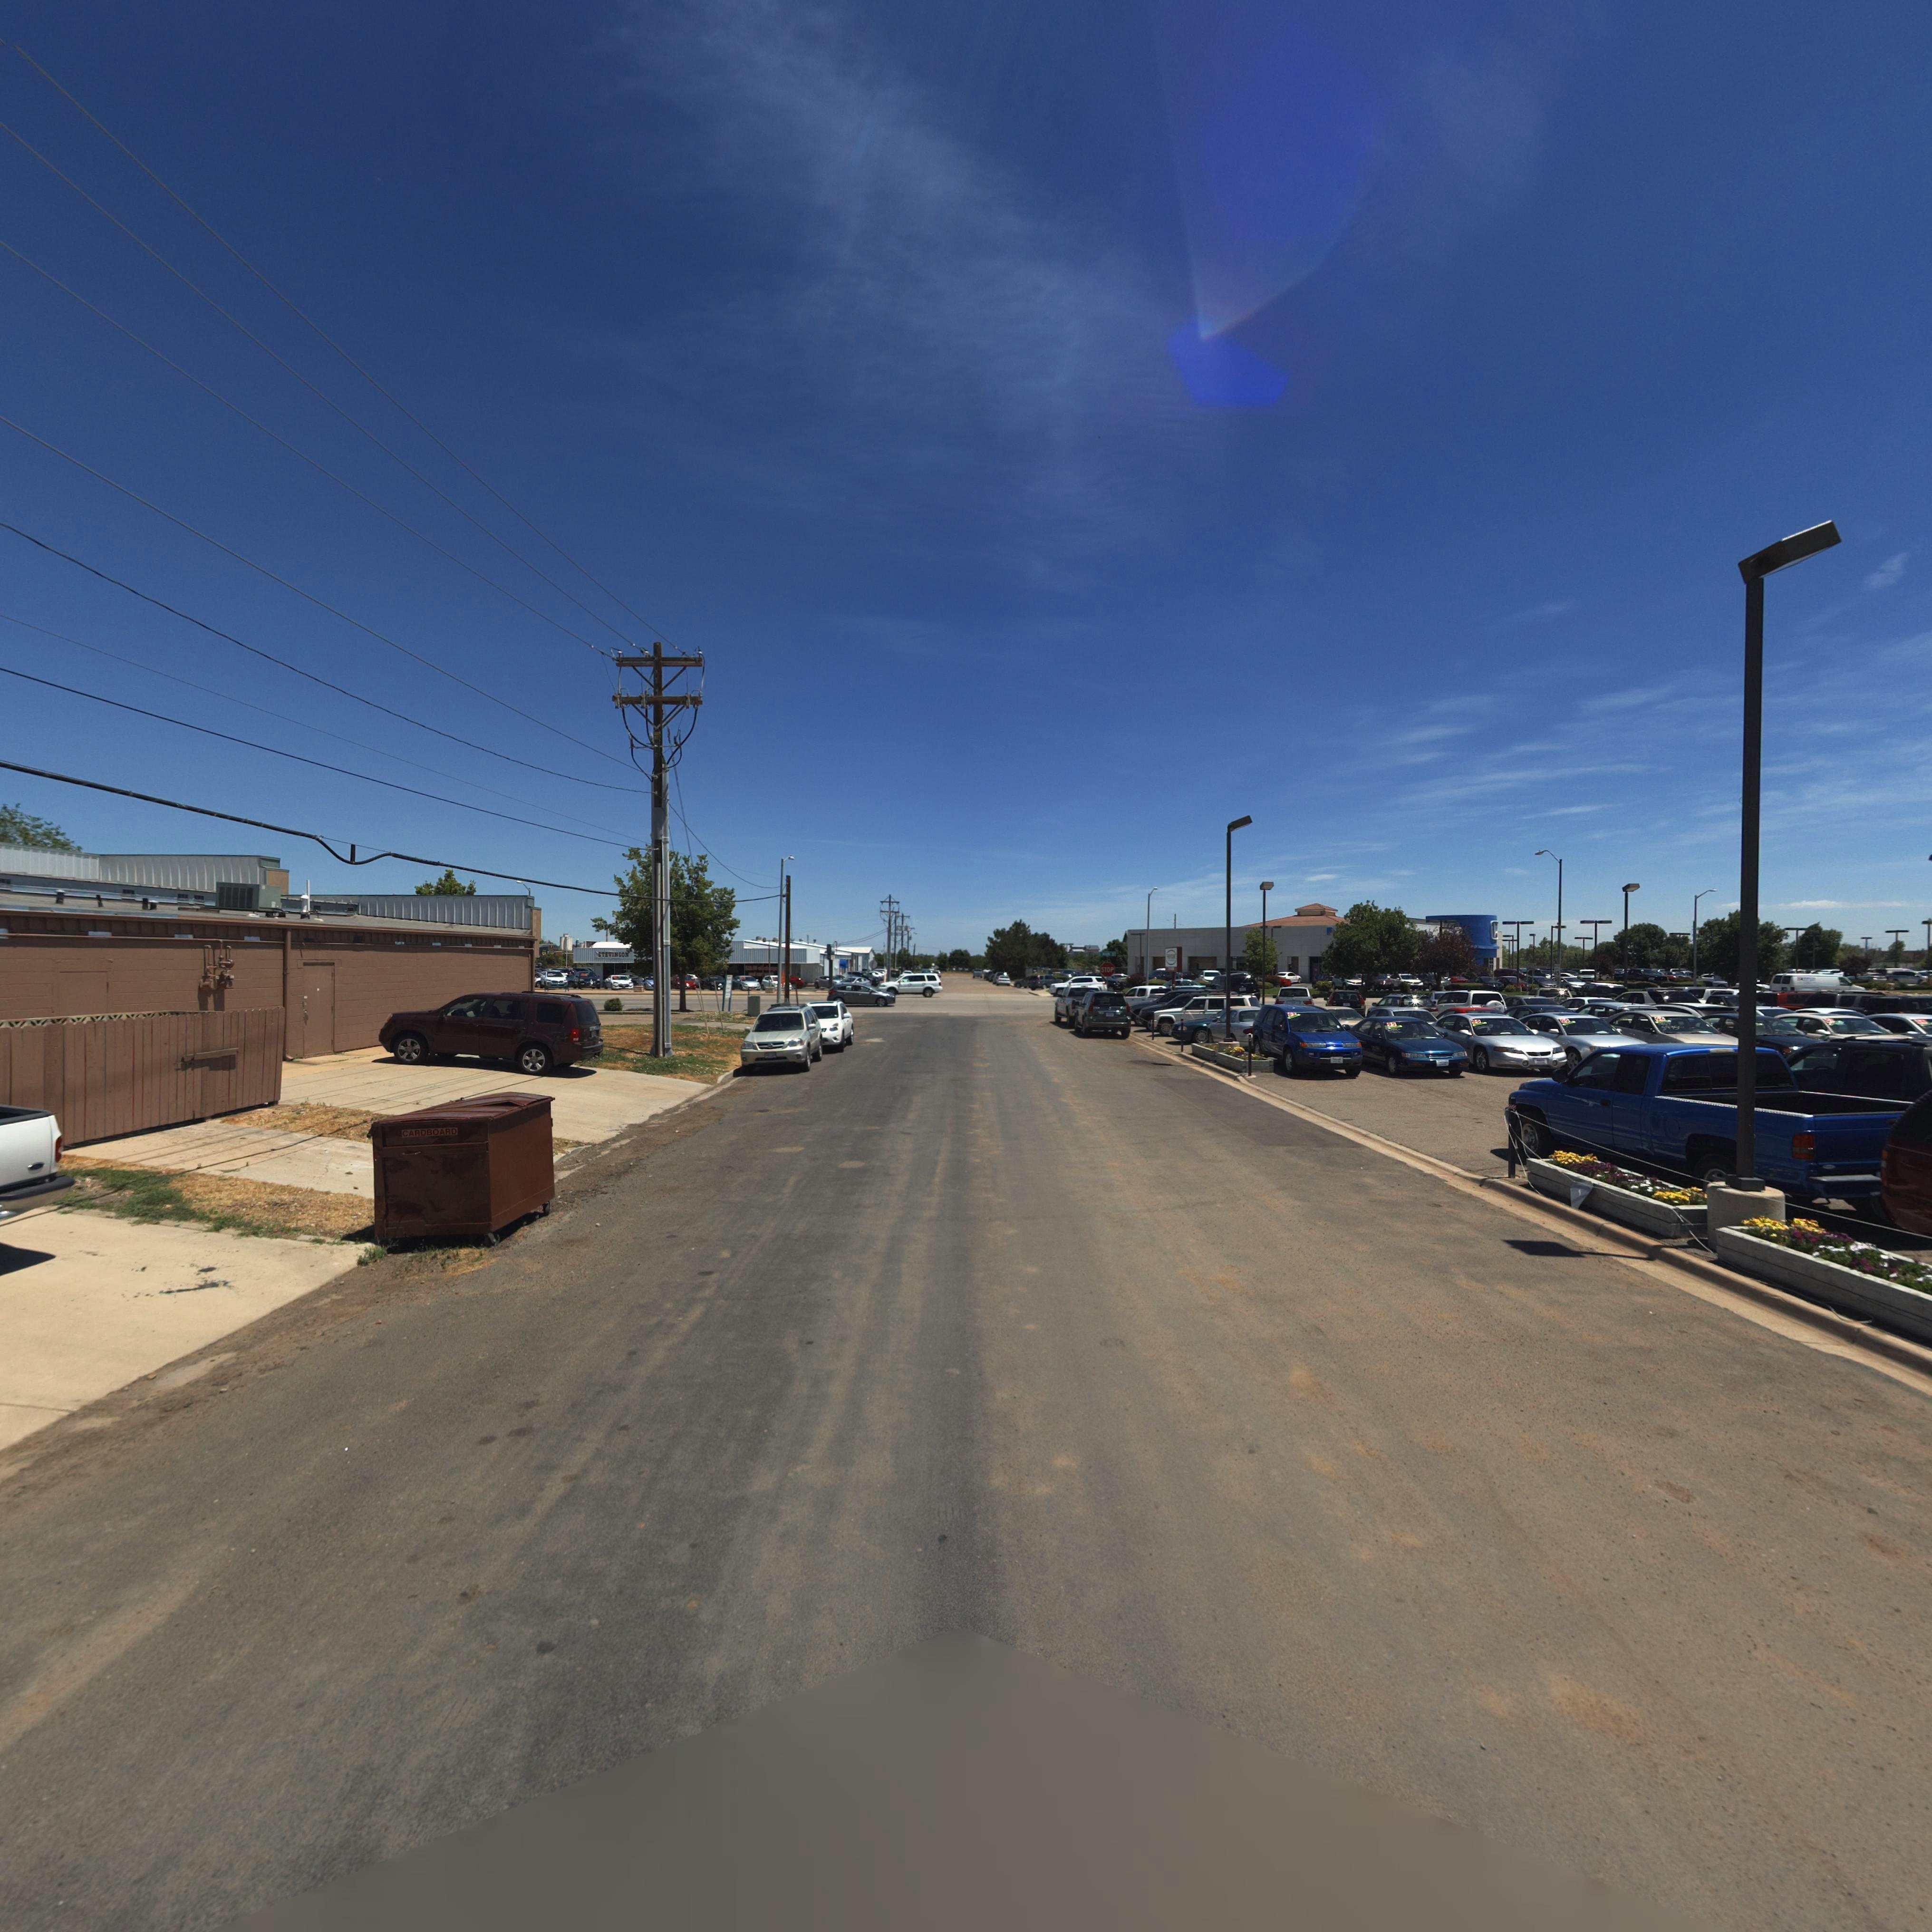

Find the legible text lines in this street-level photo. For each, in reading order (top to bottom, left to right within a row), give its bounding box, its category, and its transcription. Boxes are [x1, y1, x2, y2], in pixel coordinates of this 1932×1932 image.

[598, 951, 629, 956] BusinessName: STEVINSON